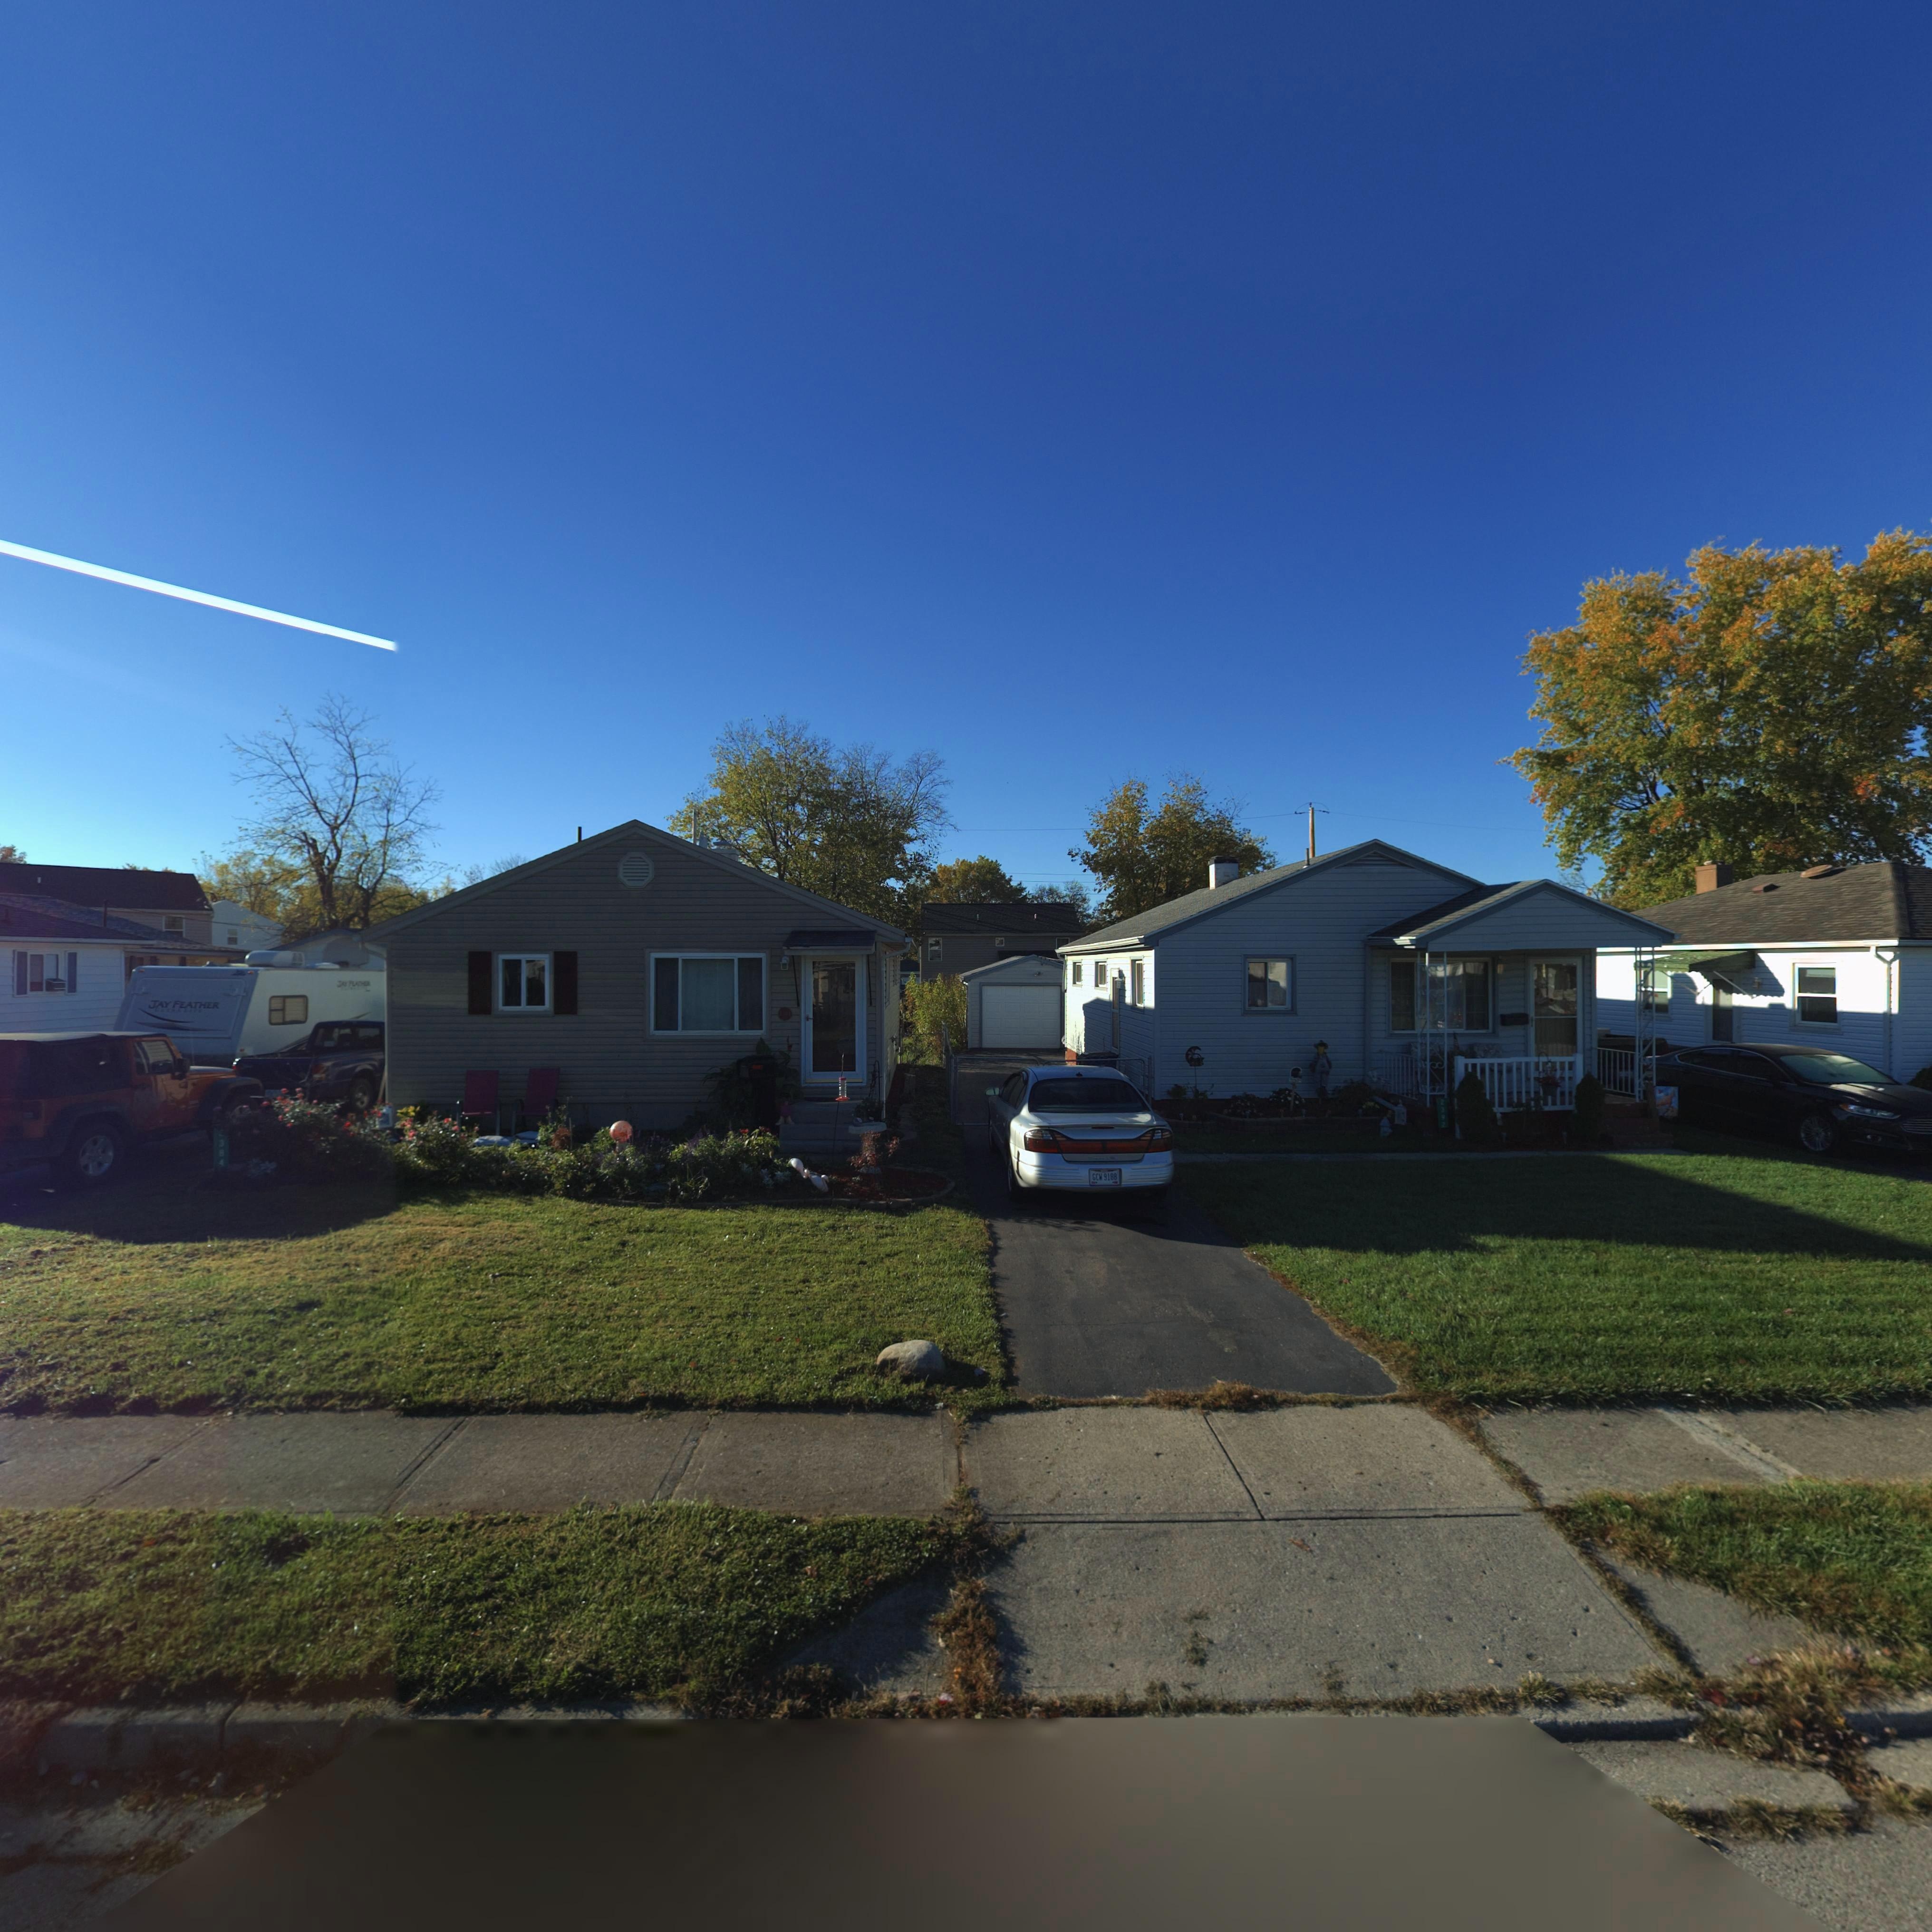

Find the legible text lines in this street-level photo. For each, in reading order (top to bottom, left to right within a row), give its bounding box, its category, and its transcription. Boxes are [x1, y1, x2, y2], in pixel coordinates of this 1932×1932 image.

[1439, 1098, 1447, 1128] StreetNumber: 2392